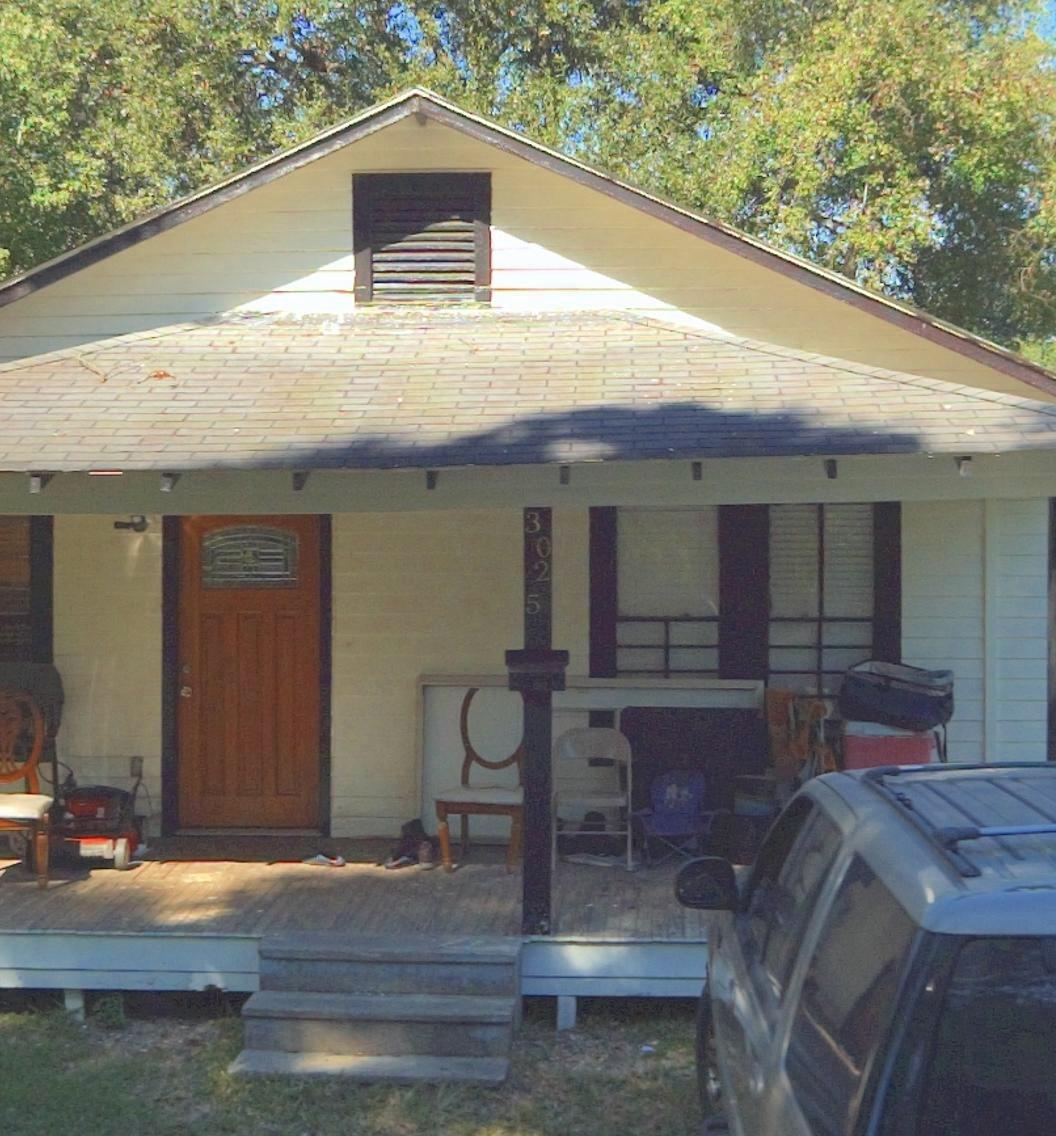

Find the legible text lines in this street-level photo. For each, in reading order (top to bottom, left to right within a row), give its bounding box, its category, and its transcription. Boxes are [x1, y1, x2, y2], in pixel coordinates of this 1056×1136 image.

[524, 509, 553, 617] StreetNumber: 3025